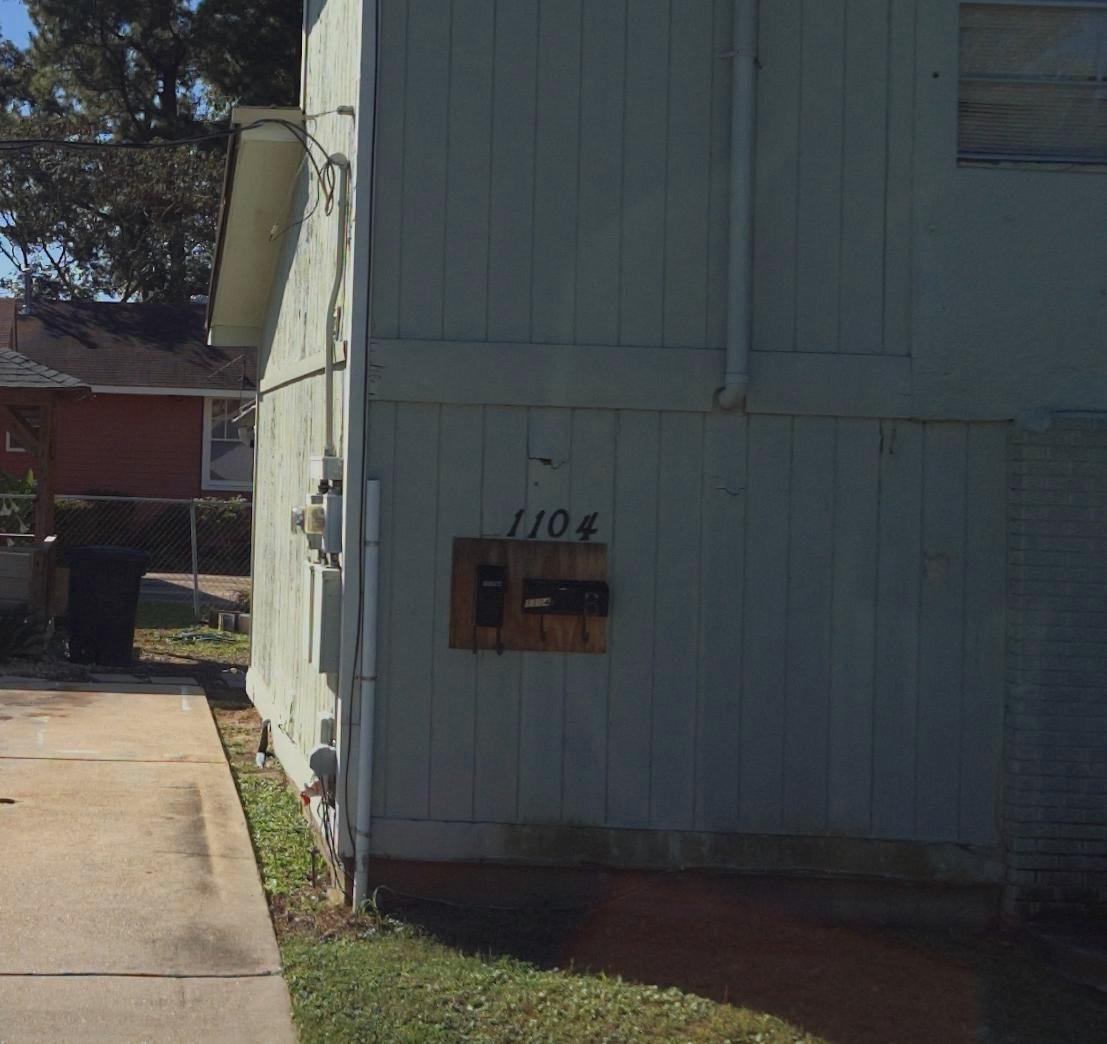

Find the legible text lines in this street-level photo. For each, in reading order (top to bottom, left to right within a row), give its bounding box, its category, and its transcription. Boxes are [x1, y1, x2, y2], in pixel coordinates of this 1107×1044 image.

[501, 504, 603, 546] StreetNumber: 1104